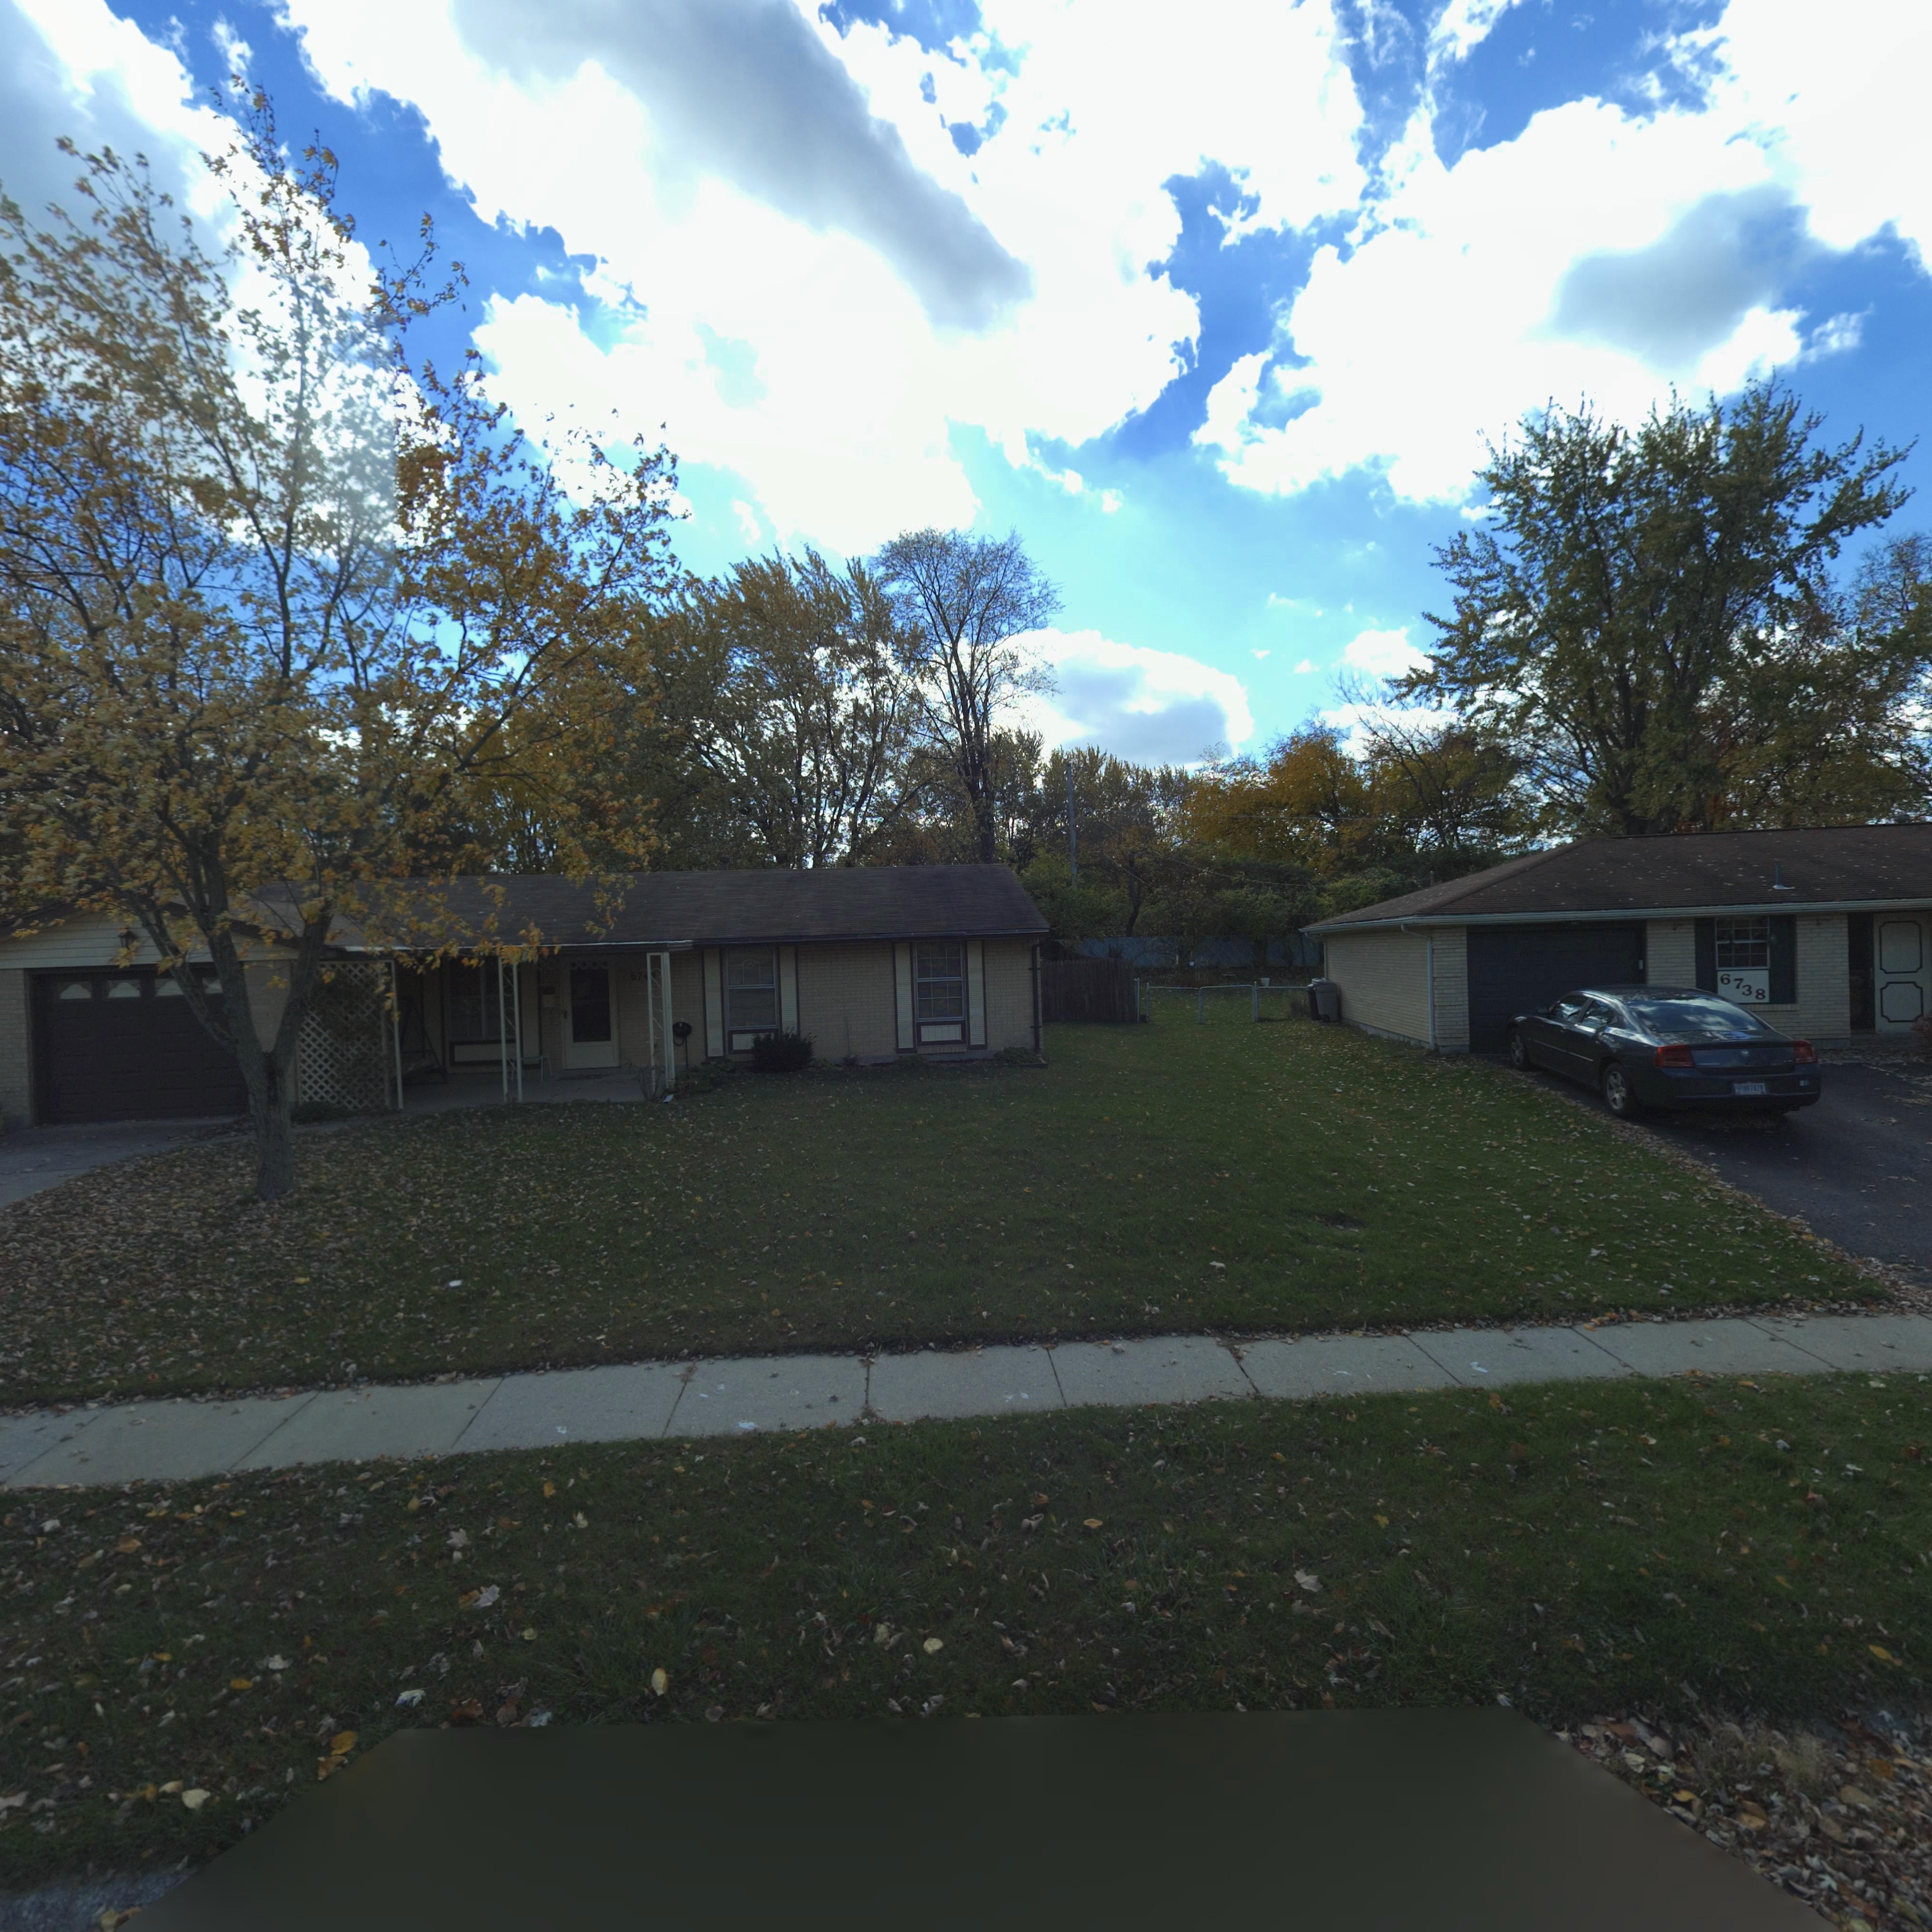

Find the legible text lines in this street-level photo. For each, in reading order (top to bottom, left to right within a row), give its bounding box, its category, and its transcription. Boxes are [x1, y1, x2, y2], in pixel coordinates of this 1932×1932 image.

[629, 971, 657, 981] StreetNumber: 6744
[1719, 973, 1766, 1001] StreetNumber: 6738